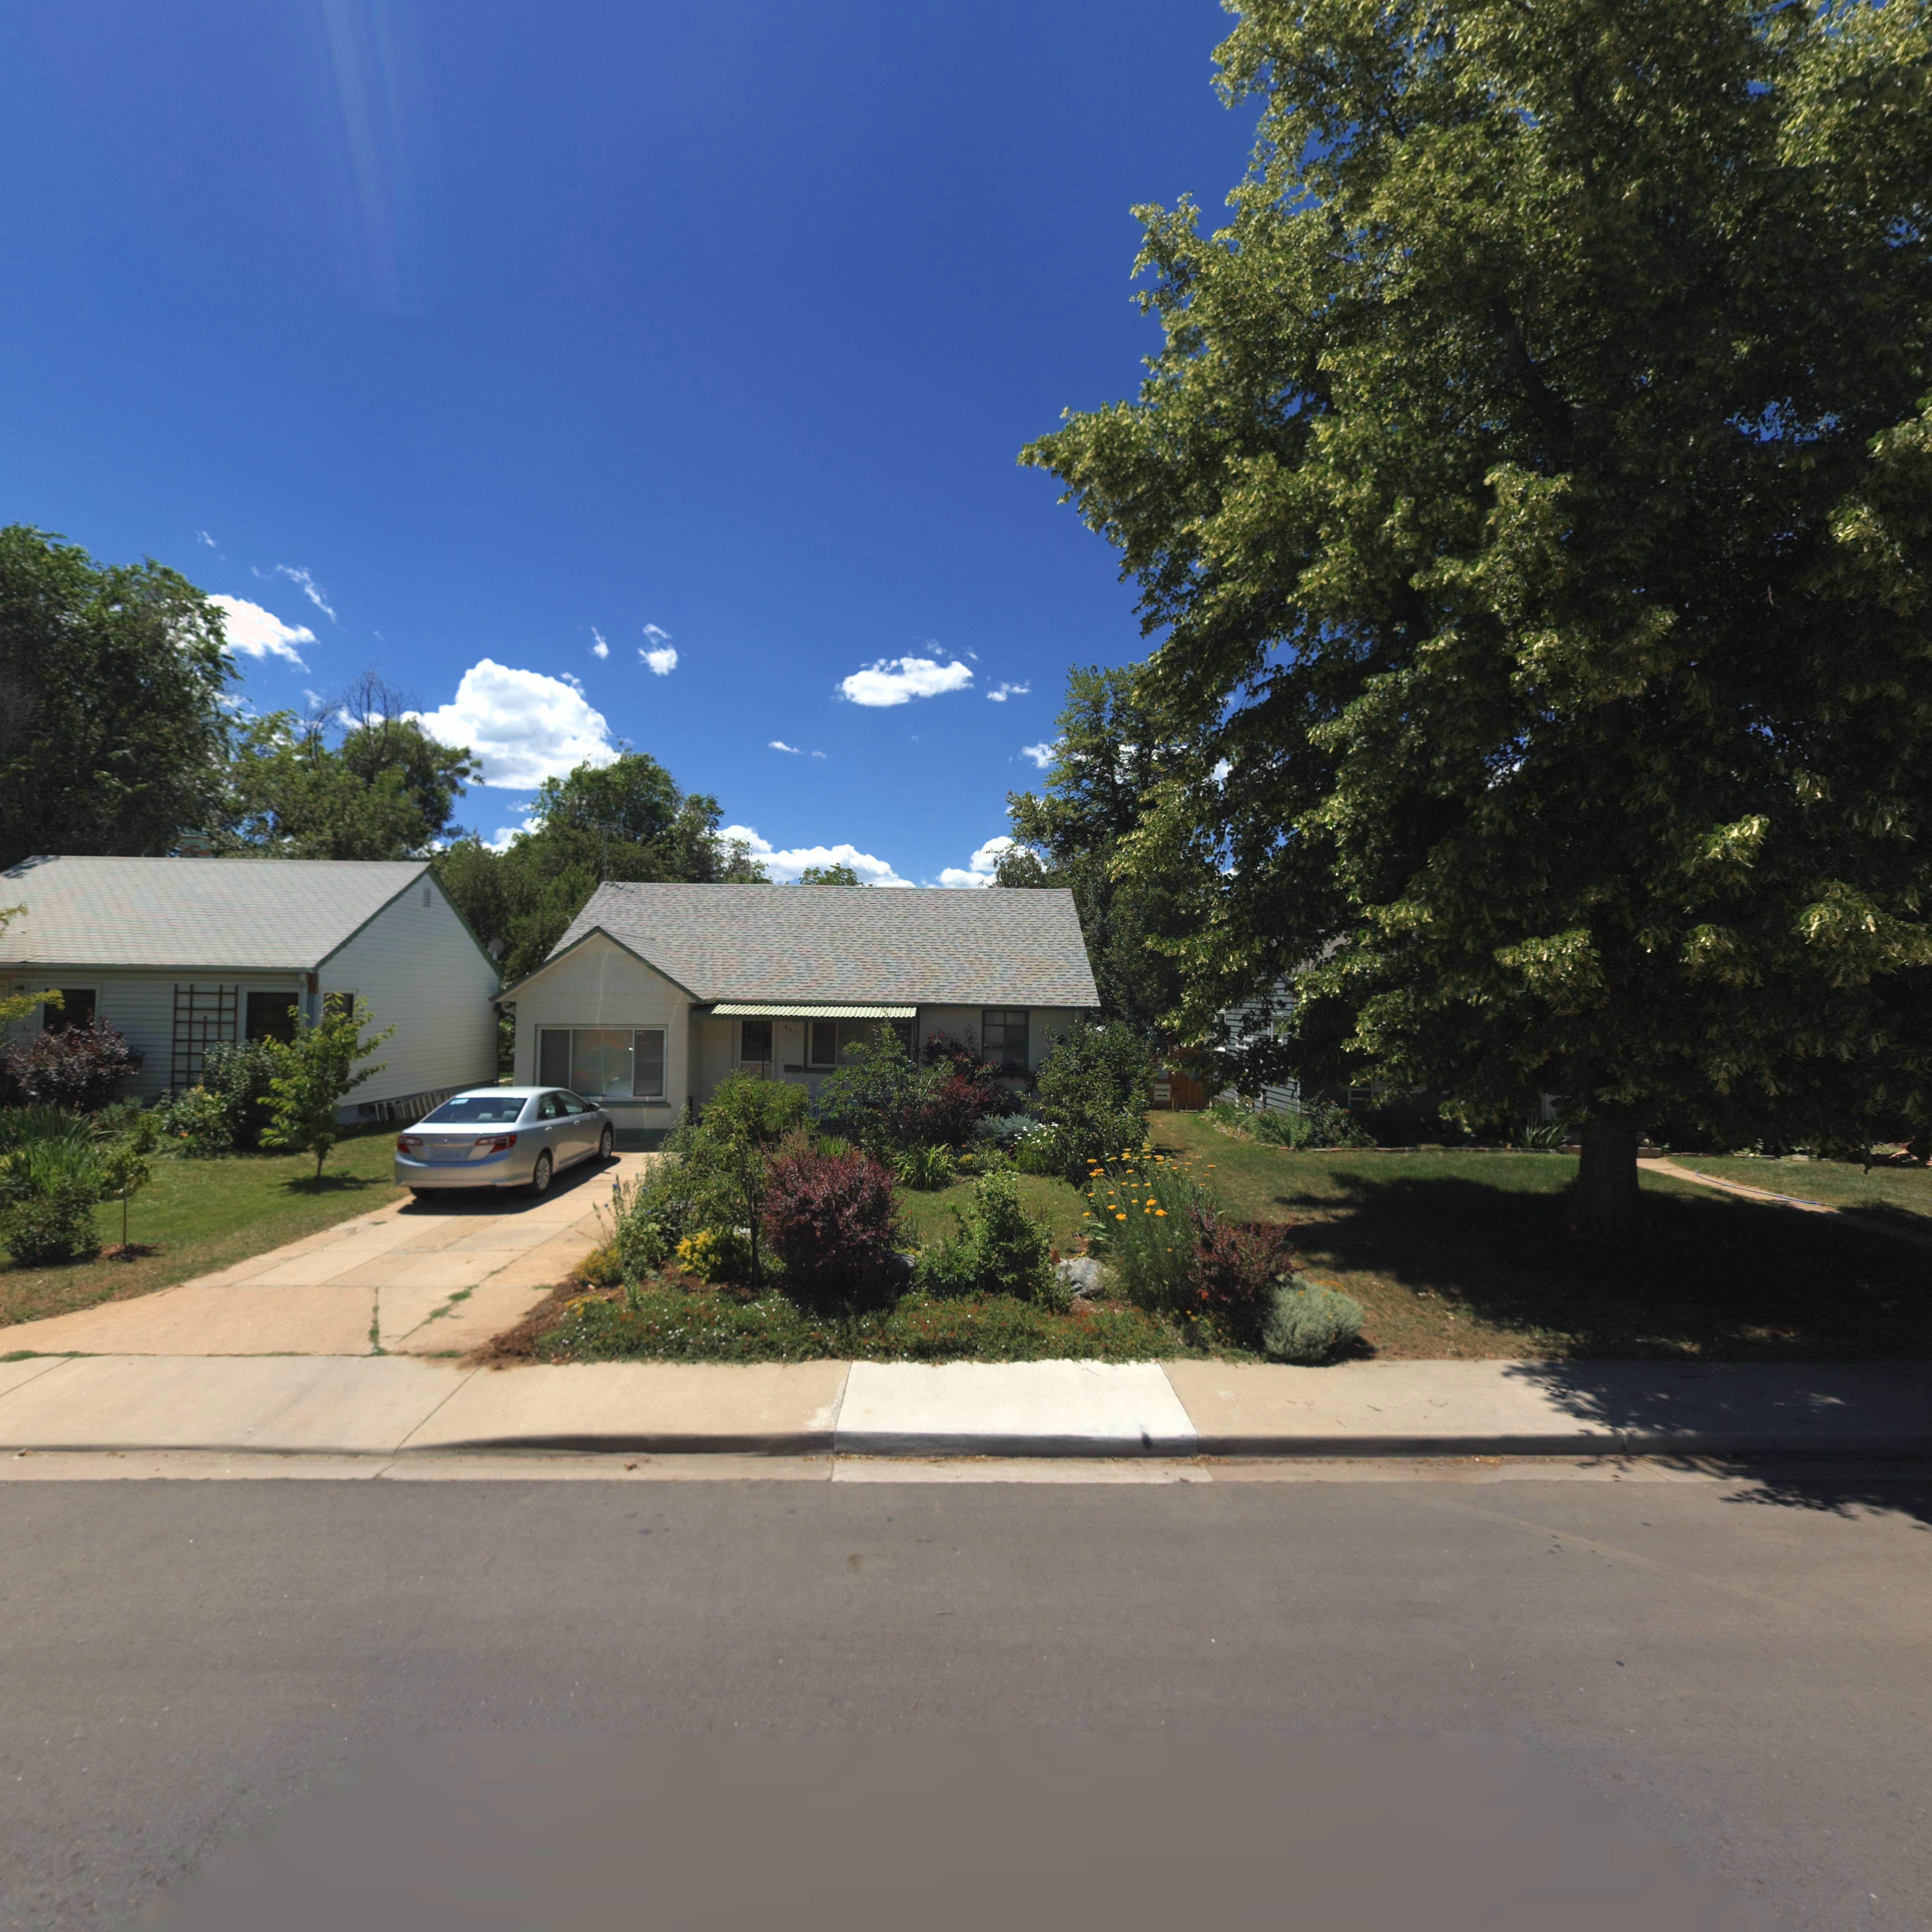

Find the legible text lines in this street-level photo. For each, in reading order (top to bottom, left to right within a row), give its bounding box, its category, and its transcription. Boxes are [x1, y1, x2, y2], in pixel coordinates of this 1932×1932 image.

[784, 1025, 796, 1035] StreetNumber: 927